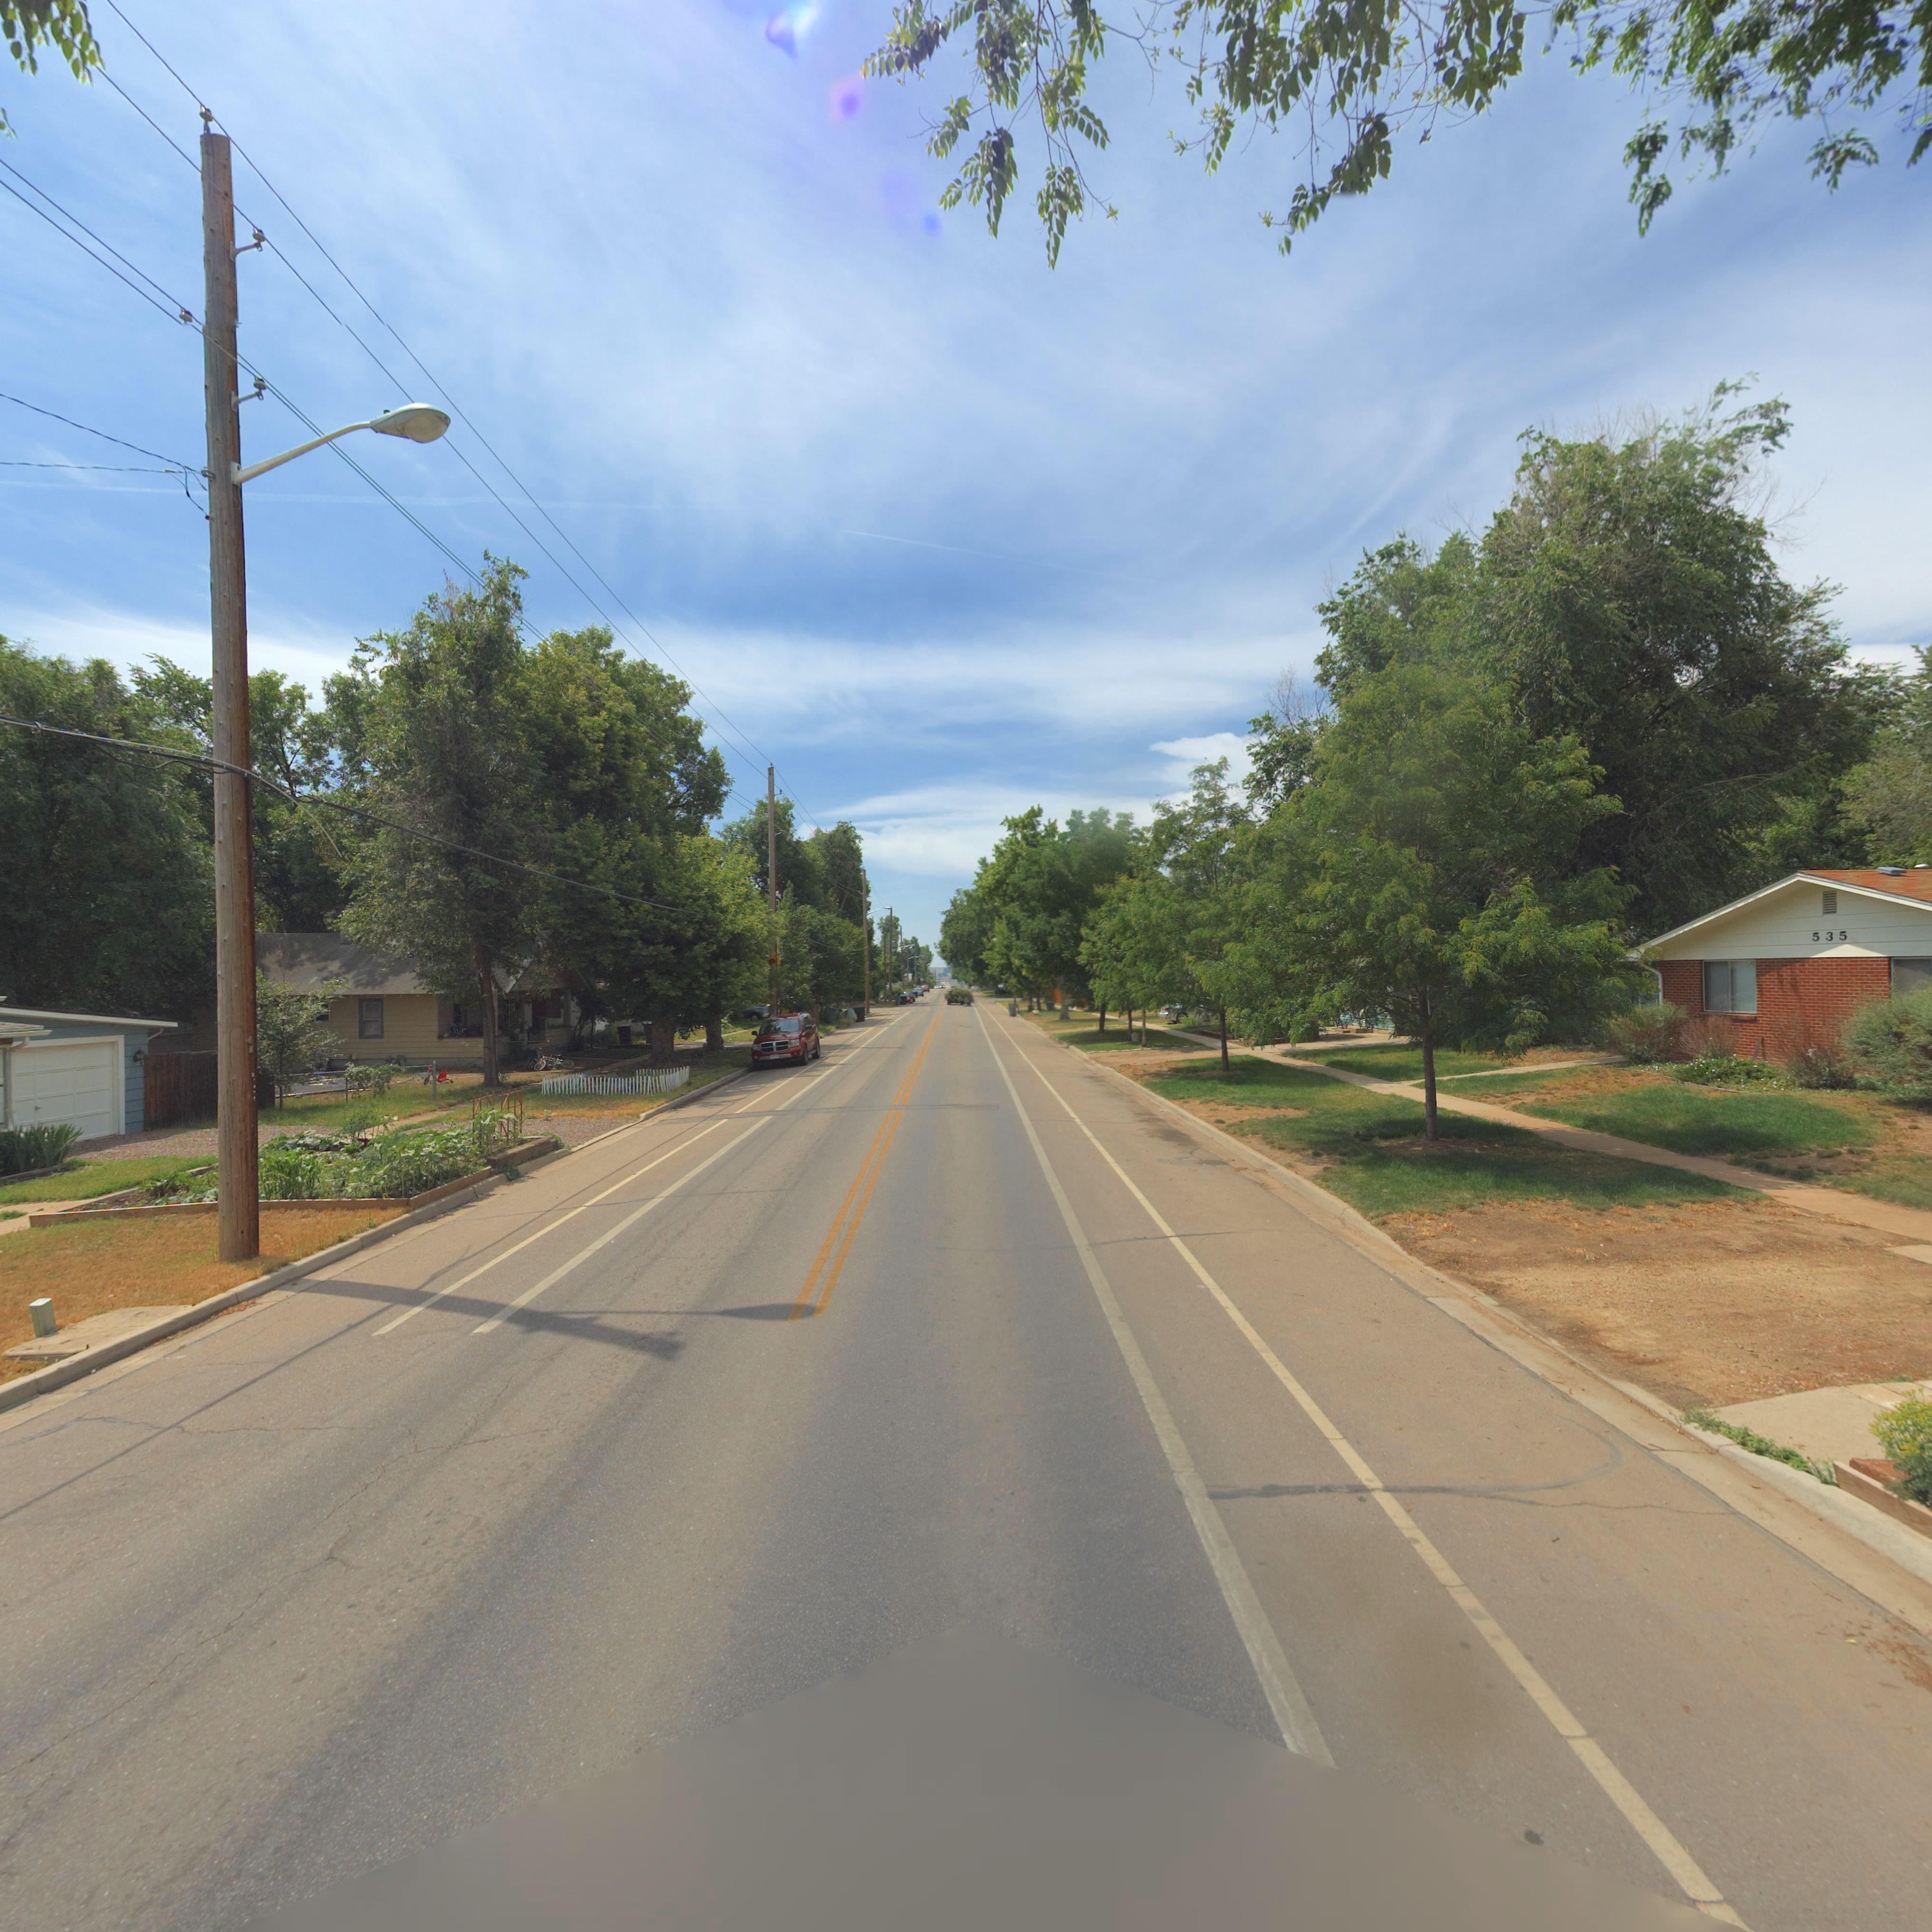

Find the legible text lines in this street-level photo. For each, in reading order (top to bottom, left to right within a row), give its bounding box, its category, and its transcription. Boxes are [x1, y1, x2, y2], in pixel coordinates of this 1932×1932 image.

[1811, 930, 1847, 942] StreetNumber: 535